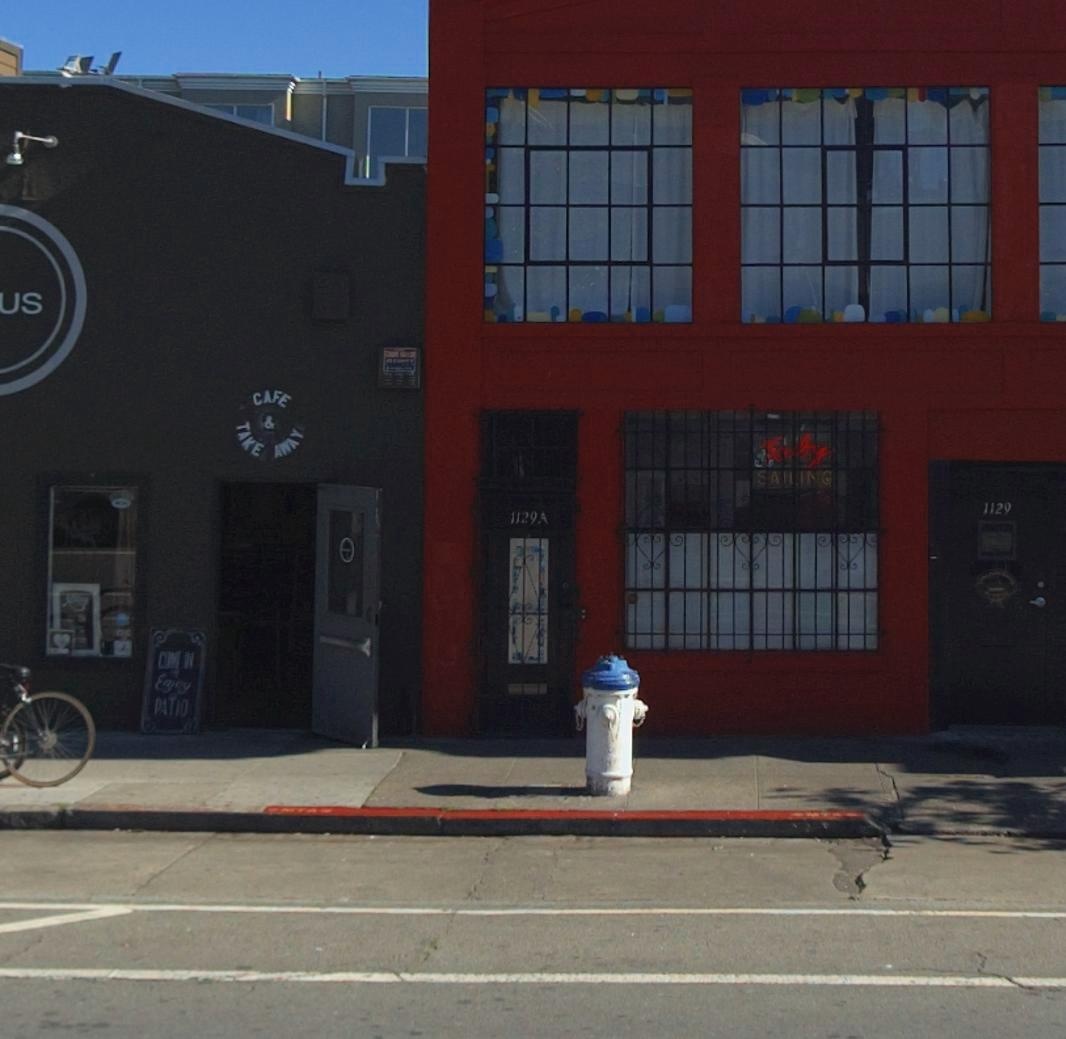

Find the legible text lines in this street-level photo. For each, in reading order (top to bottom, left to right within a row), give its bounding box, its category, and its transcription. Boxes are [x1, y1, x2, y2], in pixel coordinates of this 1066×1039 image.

[19, 290, 45, 317] BusinessName: S
[250, 388, 296, 410] None: CAFE
[234, 419, 305, 459] None: TAKE AWAY
[756, 469, 834, 486] None: *SI*I*G
[508, 509, 551, 526] StreetNumber: 1129A
[982, 500, 1013, 516] StreetNumber: 1129
[157, 648, 197, 671] None: COME IN
[153, 695, 192, 719] None: PATIO